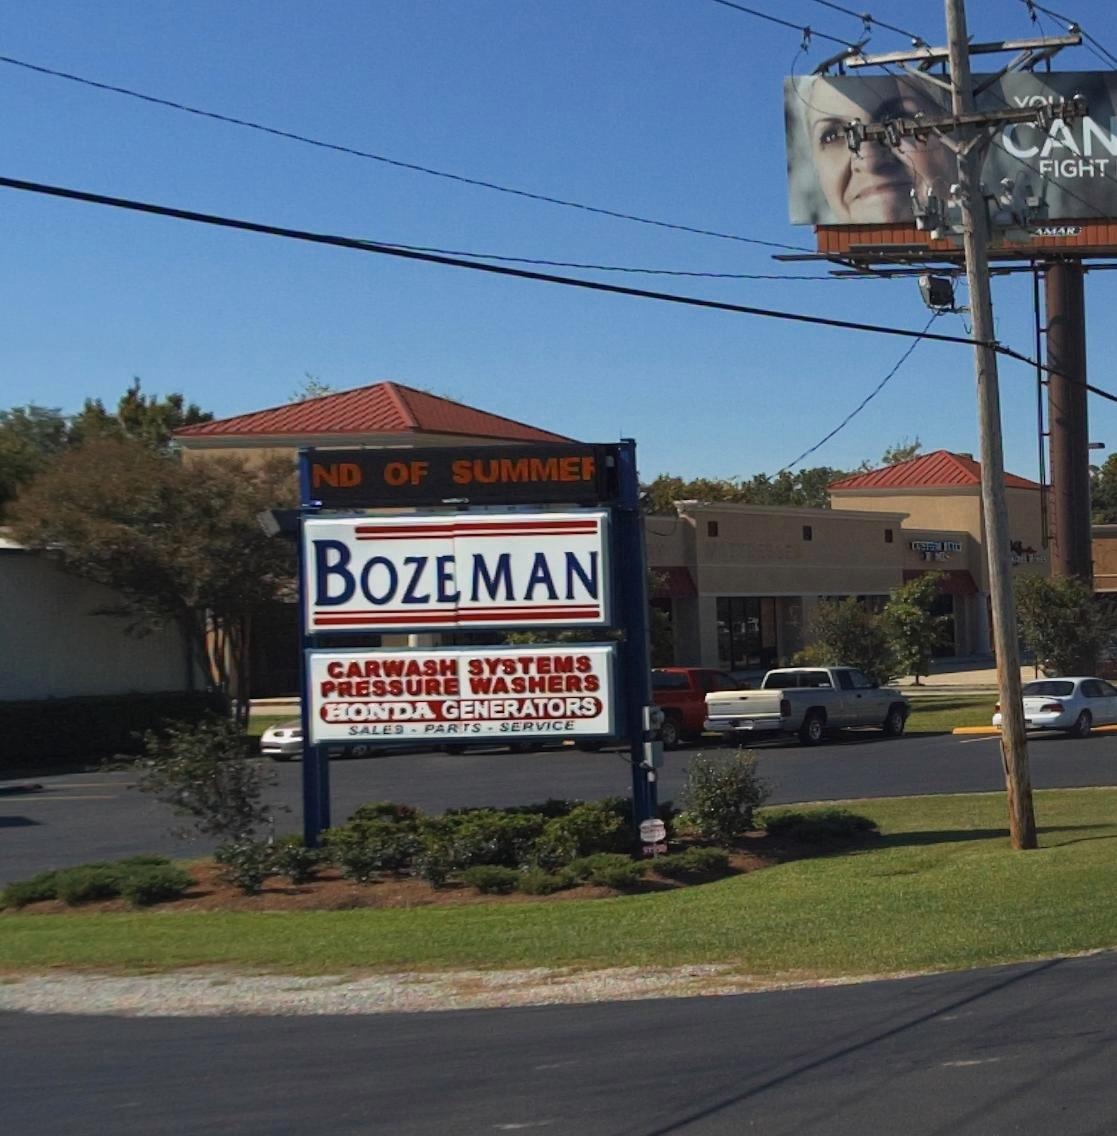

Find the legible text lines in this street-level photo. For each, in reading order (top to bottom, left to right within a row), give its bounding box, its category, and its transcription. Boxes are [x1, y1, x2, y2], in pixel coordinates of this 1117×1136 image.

[1035, 116, 1084, 160] None: A
[1037, 156, 1112, 181] None: FIGHT
[1040, 224, 1078, 238] None: MAR
[310, 454, 583, 490] None: ND OF SUMME
[309, 532, 602, 611] BusinessName: BOZ*MAN
[322, 651, 595, 682] None: CARWASH*SYSTEMS
[317, 672, 602, 700] None: PRESSUR* WASHERS
[321, 694, 602, 724] None: HONDA G*NERATORS
[344, 717, 579, 739] None: SALES*PAR*S*SERVICE